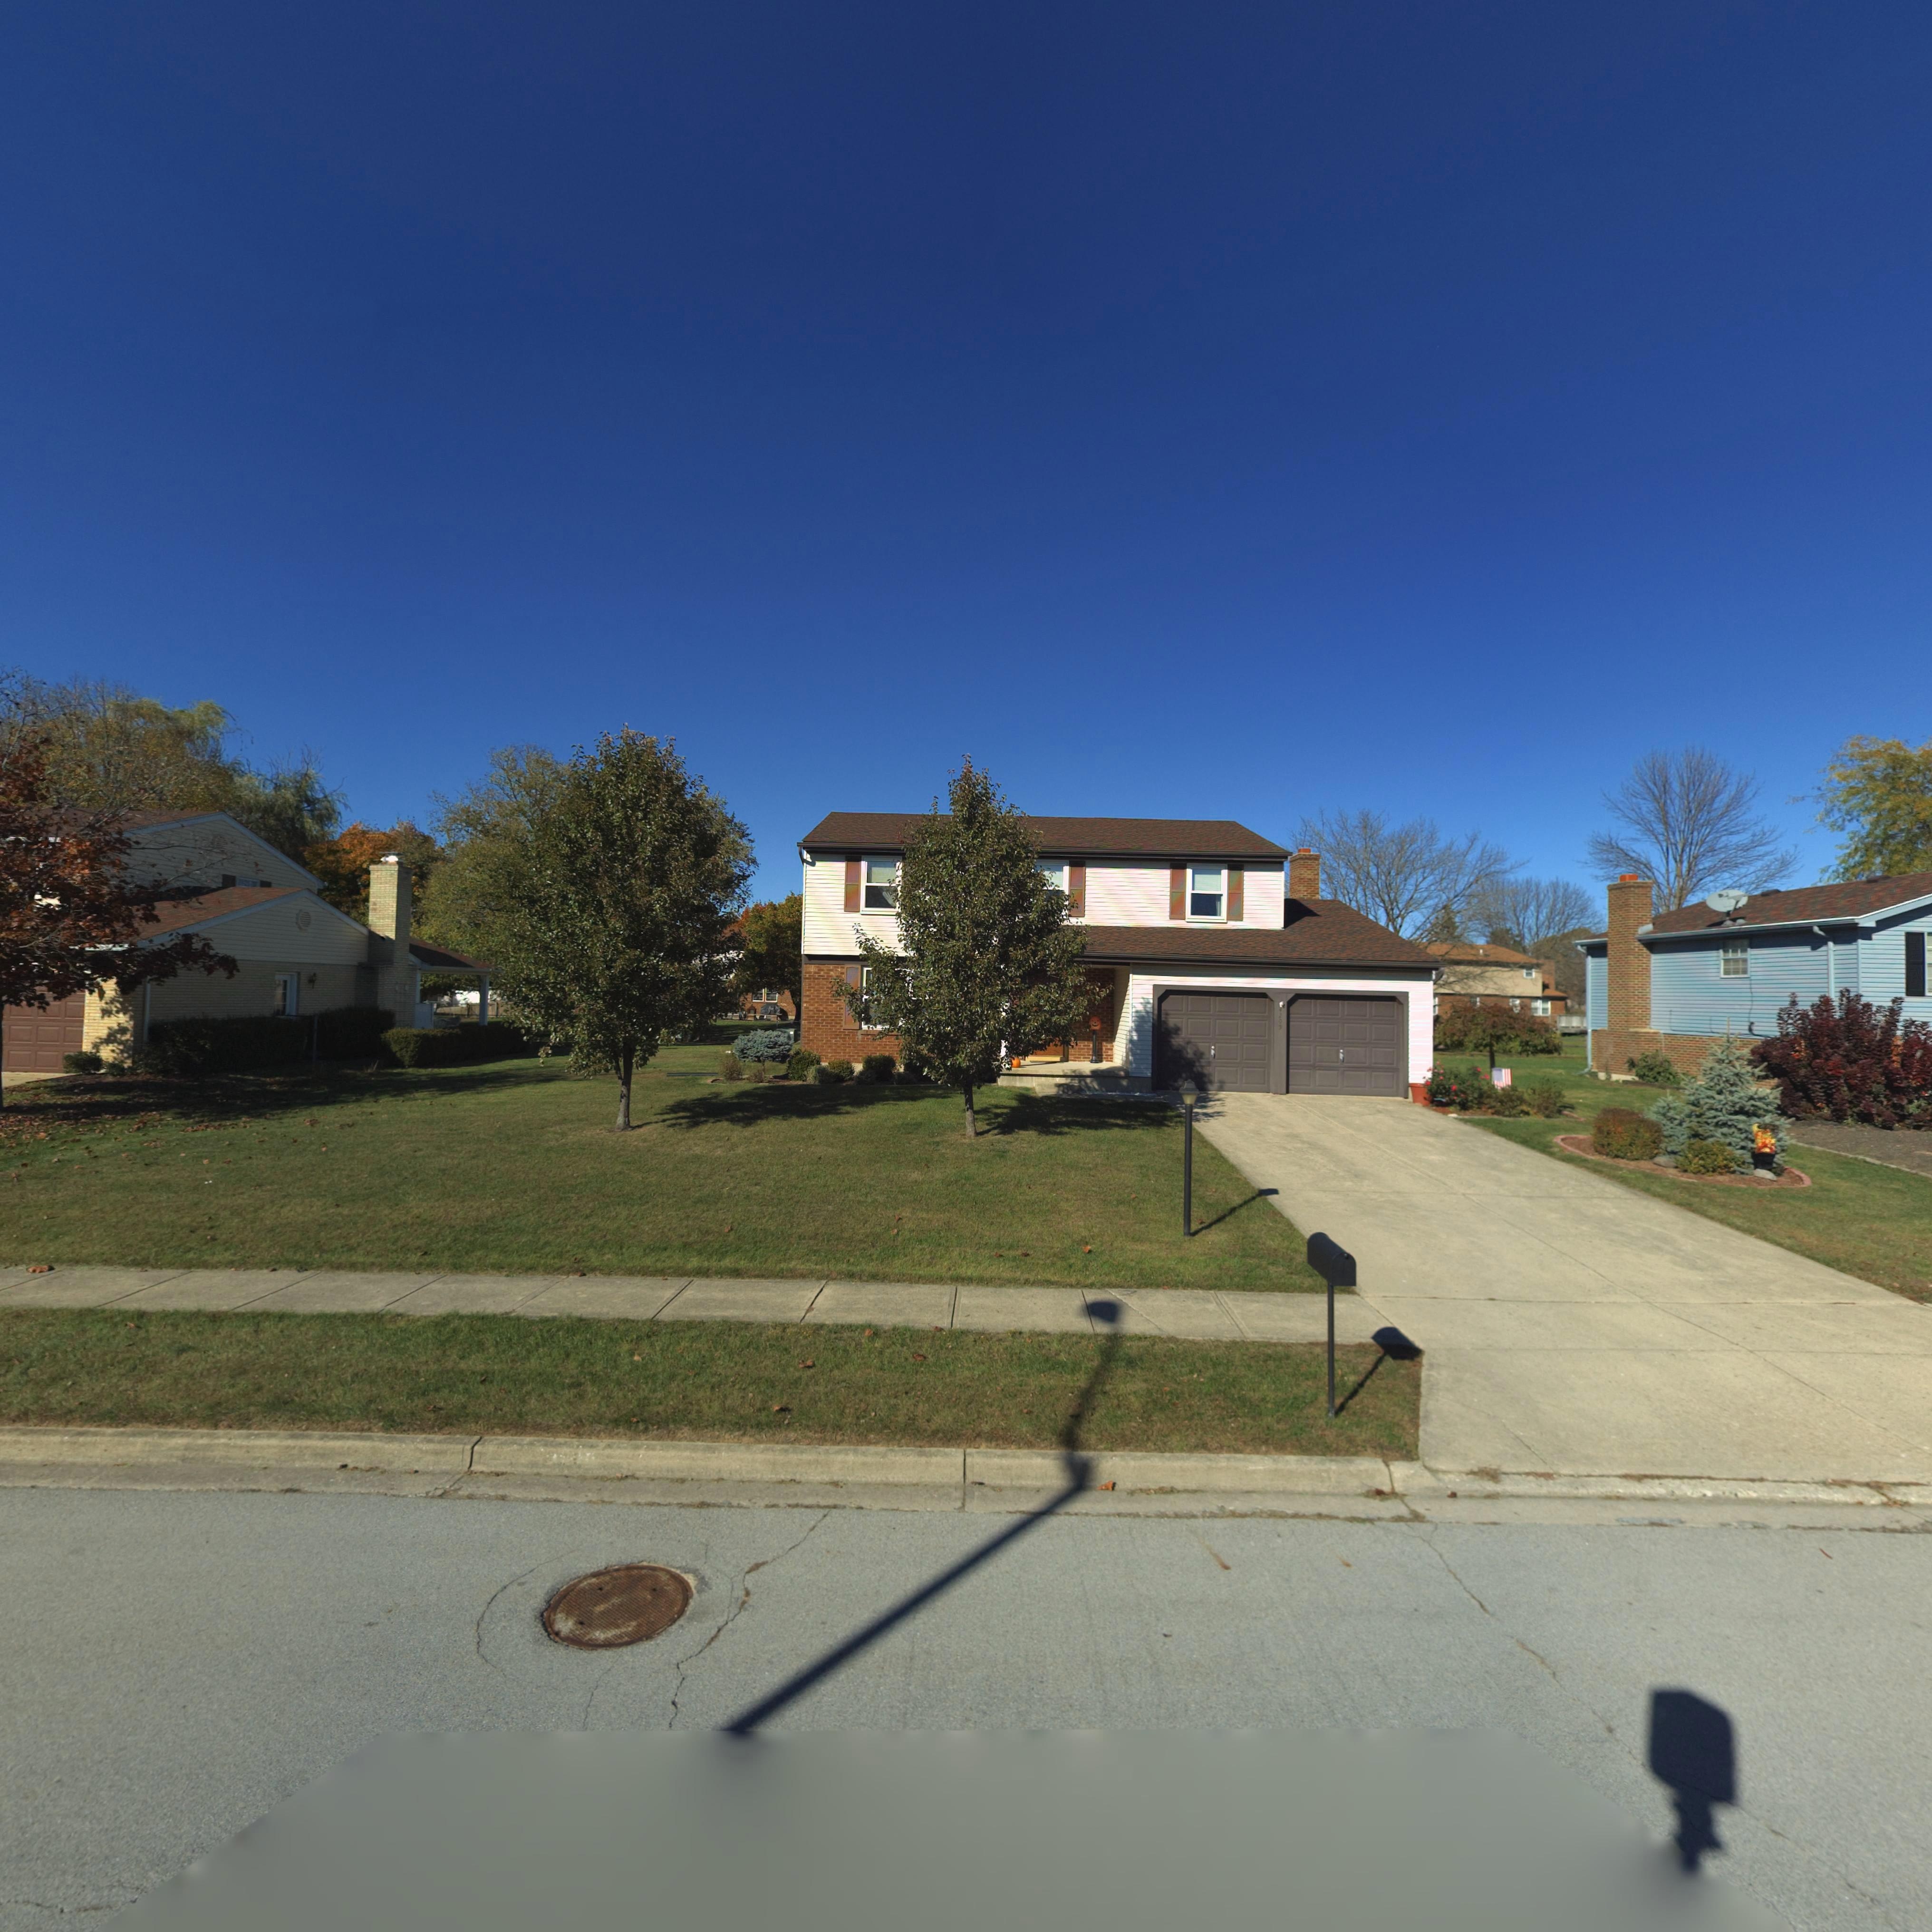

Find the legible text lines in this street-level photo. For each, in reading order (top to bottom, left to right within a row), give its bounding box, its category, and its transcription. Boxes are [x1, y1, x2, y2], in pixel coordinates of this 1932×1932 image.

[1278, 1006, 1283, 1031] StreetNumber: 4209